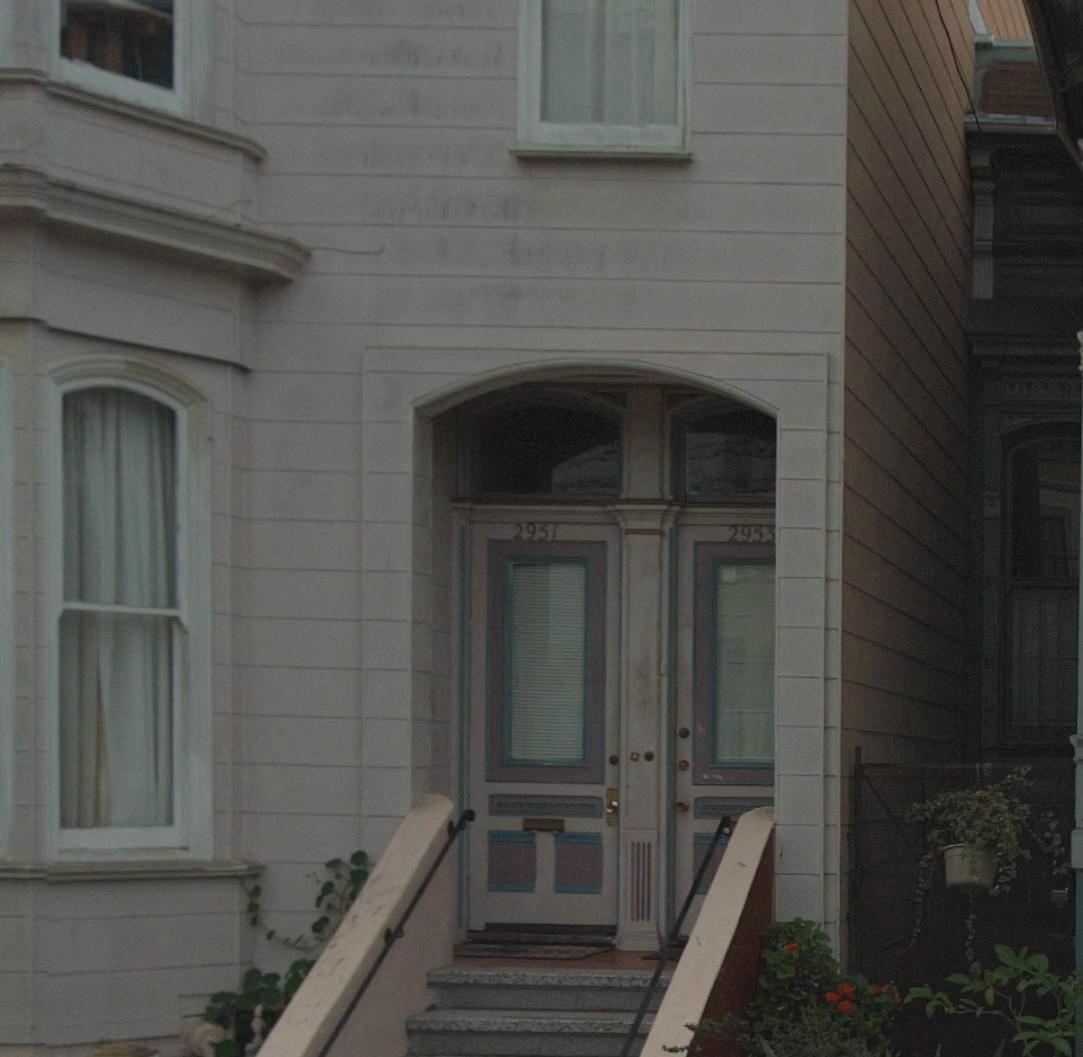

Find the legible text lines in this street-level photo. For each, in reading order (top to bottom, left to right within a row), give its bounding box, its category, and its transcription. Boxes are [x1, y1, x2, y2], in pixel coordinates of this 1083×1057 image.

[512, 521, 561, 541] StreetNumber: 2951
[726, 524, 776, 544] StreetNumber: 2953